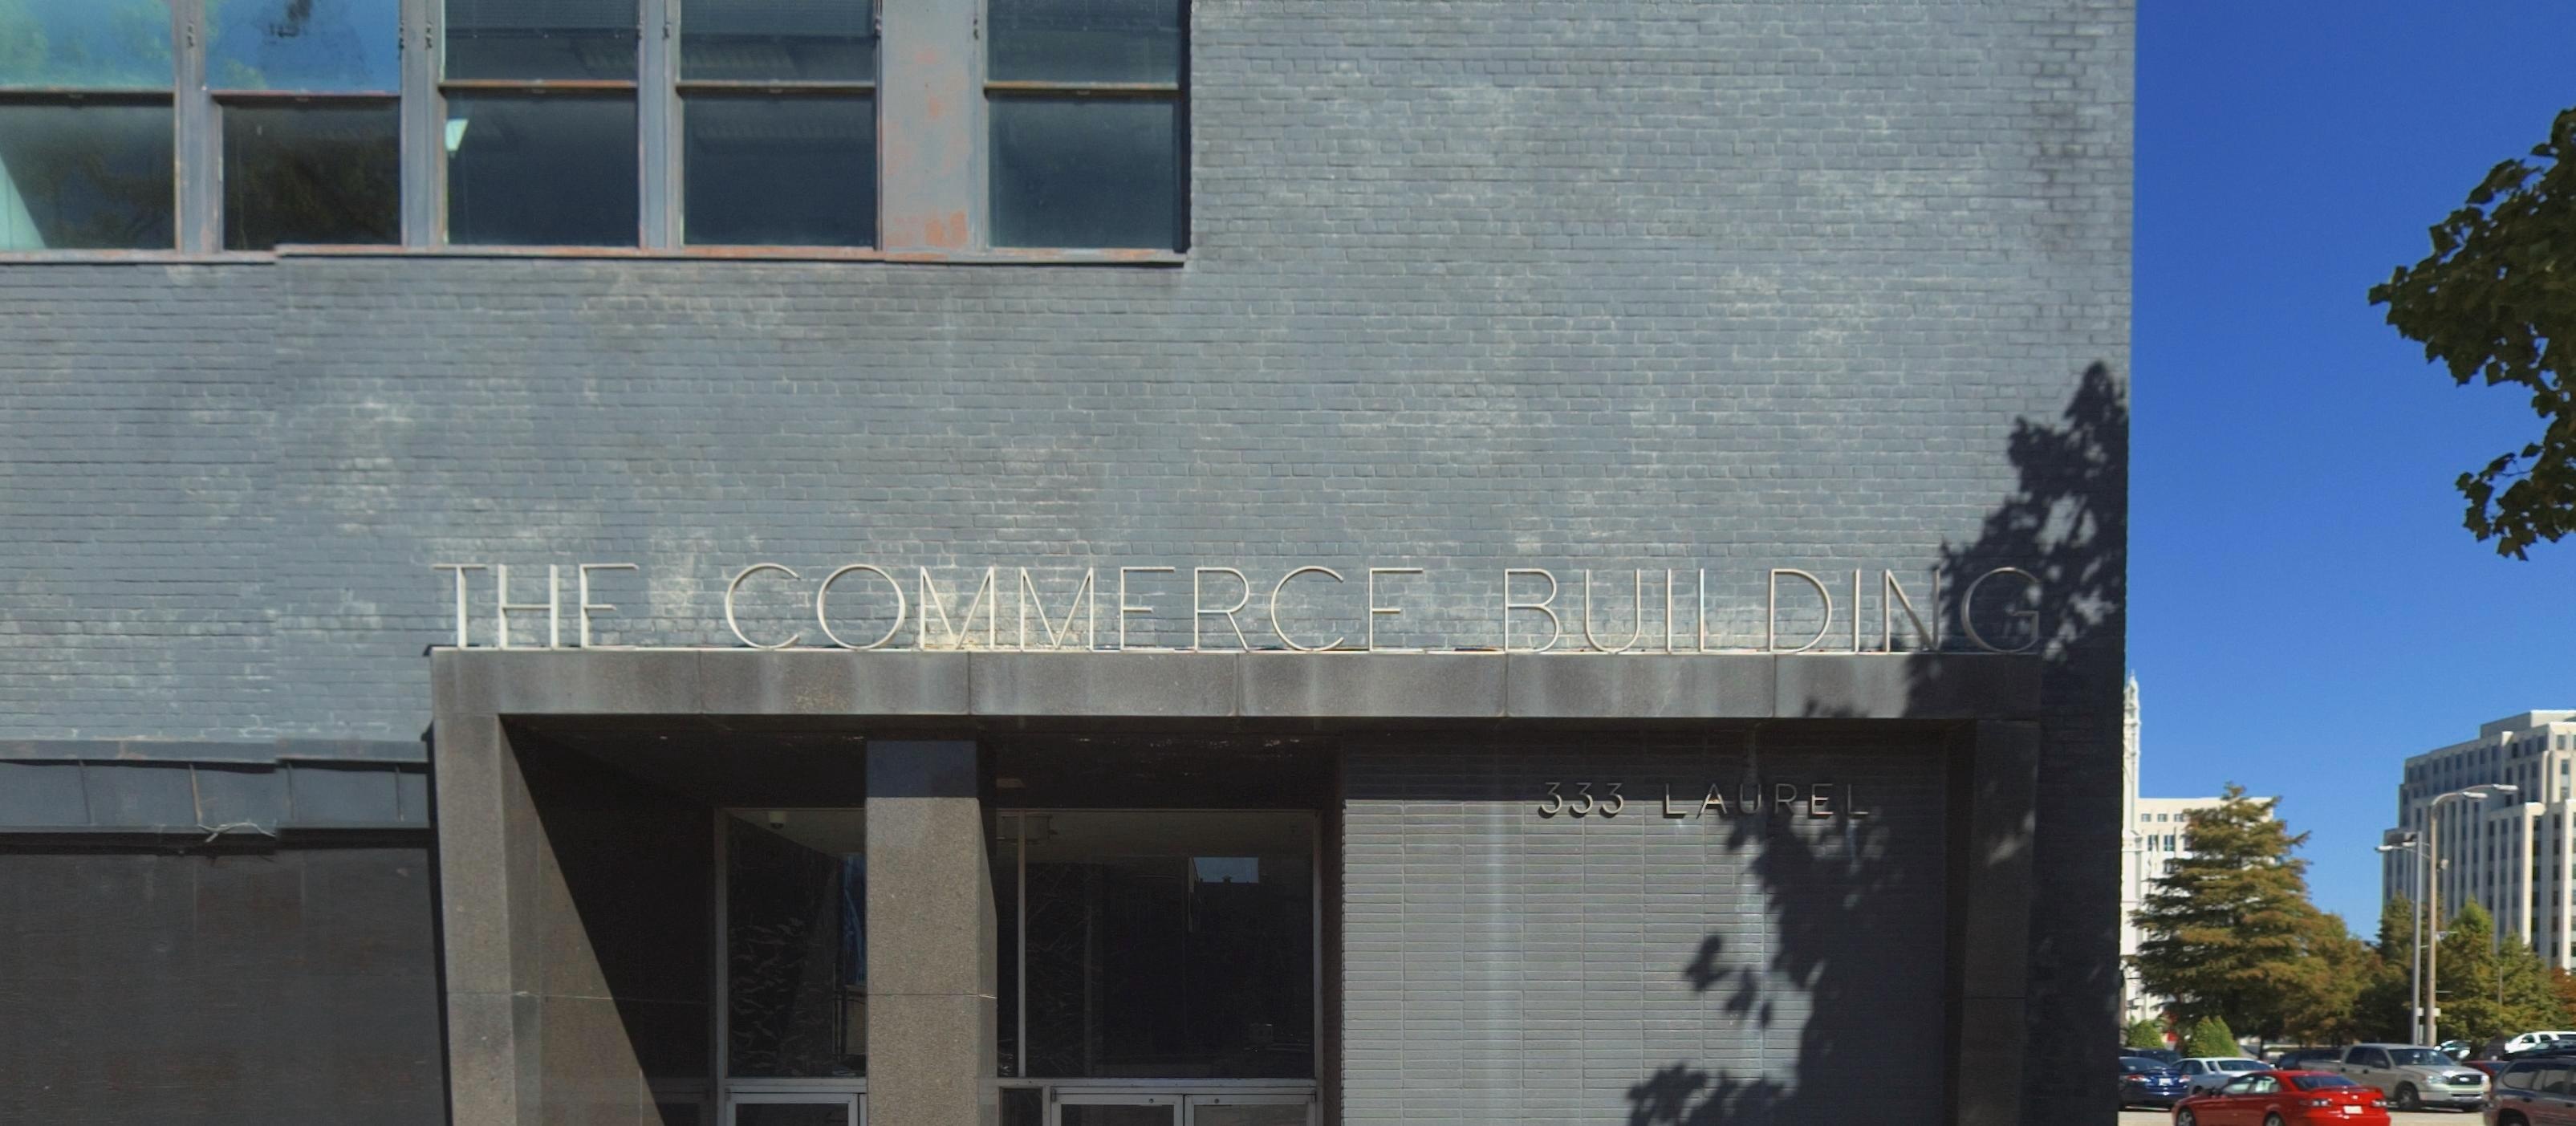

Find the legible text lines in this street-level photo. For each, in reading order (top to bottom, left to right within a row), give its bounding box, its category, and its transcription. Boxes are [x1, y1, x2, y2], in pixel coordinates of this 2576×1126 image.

[427, 560, 2046, 657] BusinessName: THE COMMERCE BUILDING
[1538, 780, 1626, 815] StreetNumber: 333
[1663, 780, 1871, 818] StreetName: LAUREL